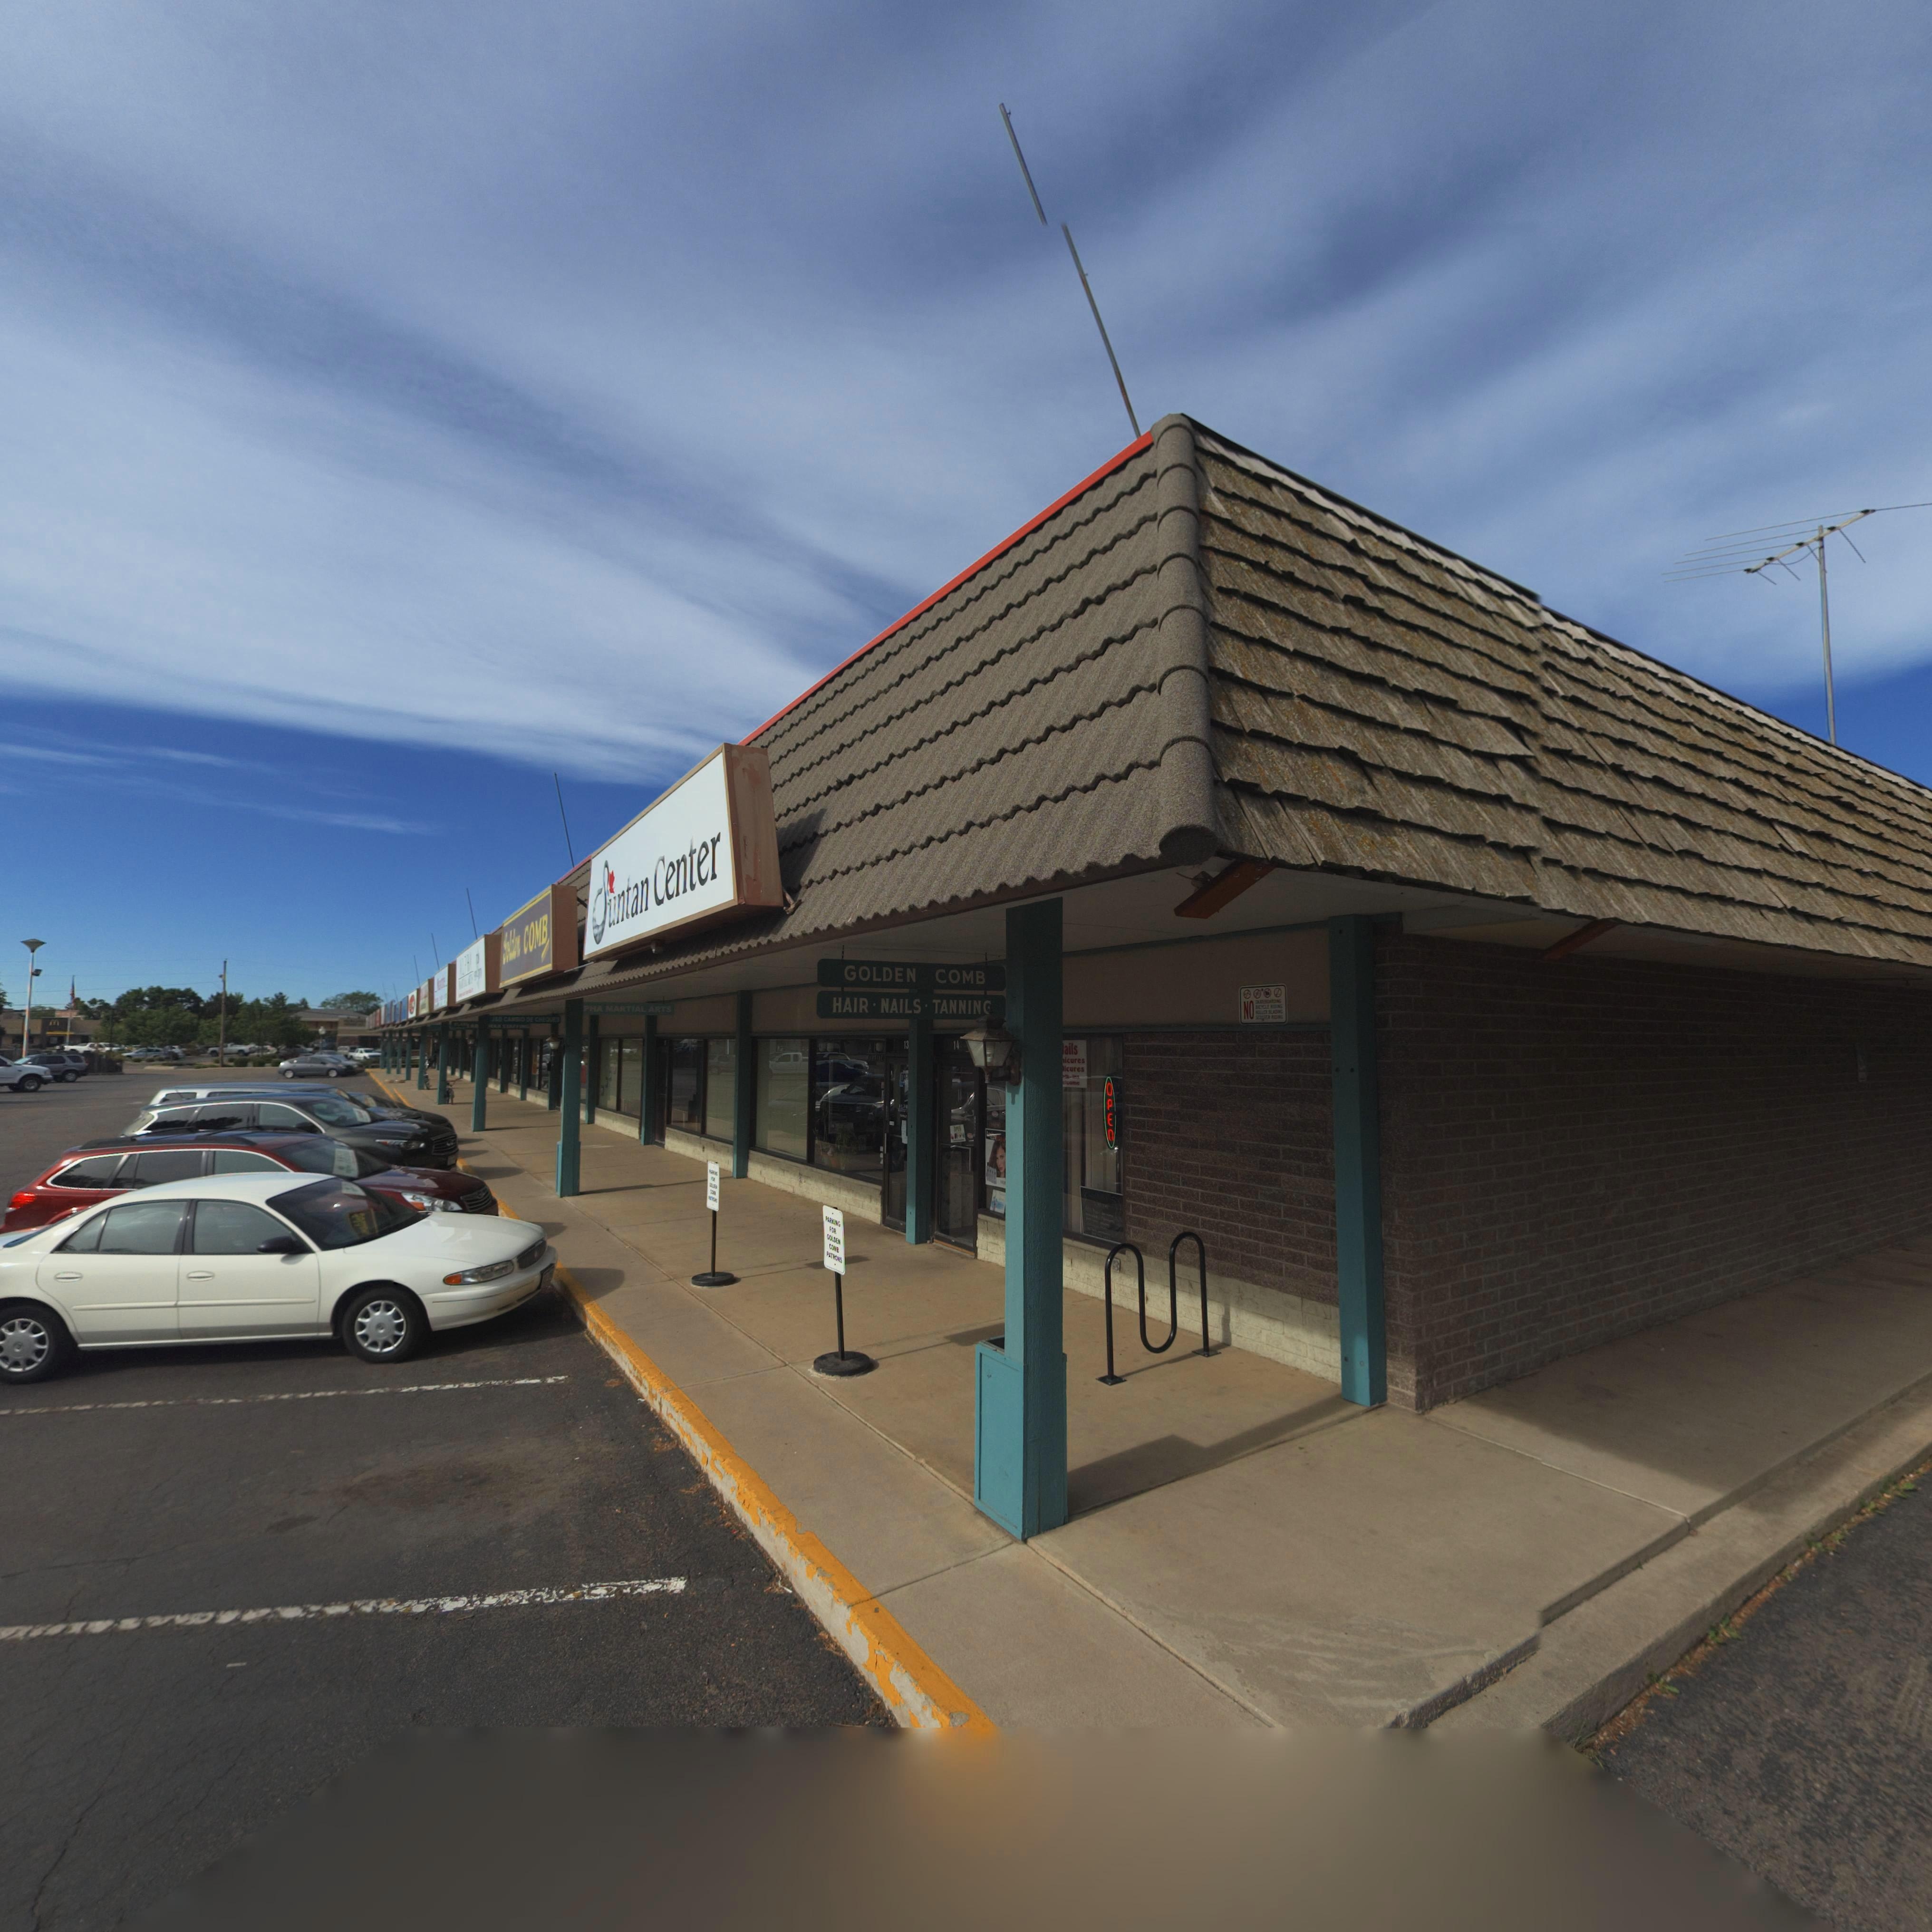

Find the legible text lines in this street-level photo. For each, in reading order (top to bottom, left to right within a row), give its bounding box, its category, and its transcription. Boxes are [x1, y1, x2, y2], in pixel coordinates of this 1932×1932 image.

[590, 830, 722, 946] BusinessName: Suntan Center
[522, 912, 548, 956] BusinessName: COMB
[844, 965, 985, 984] BusinessName: GOLDEN COMB
[491, 1016, 560, 1022] BusinessName: *** CAMBIO DE CHE****
[466, 1024, 529, 1028] BusinessName: LA*** **X STA*****
[903, 1040, 909, 1049] StreetNumber: 13
[953, 1039, 960, 1050] StreetNumber: 14